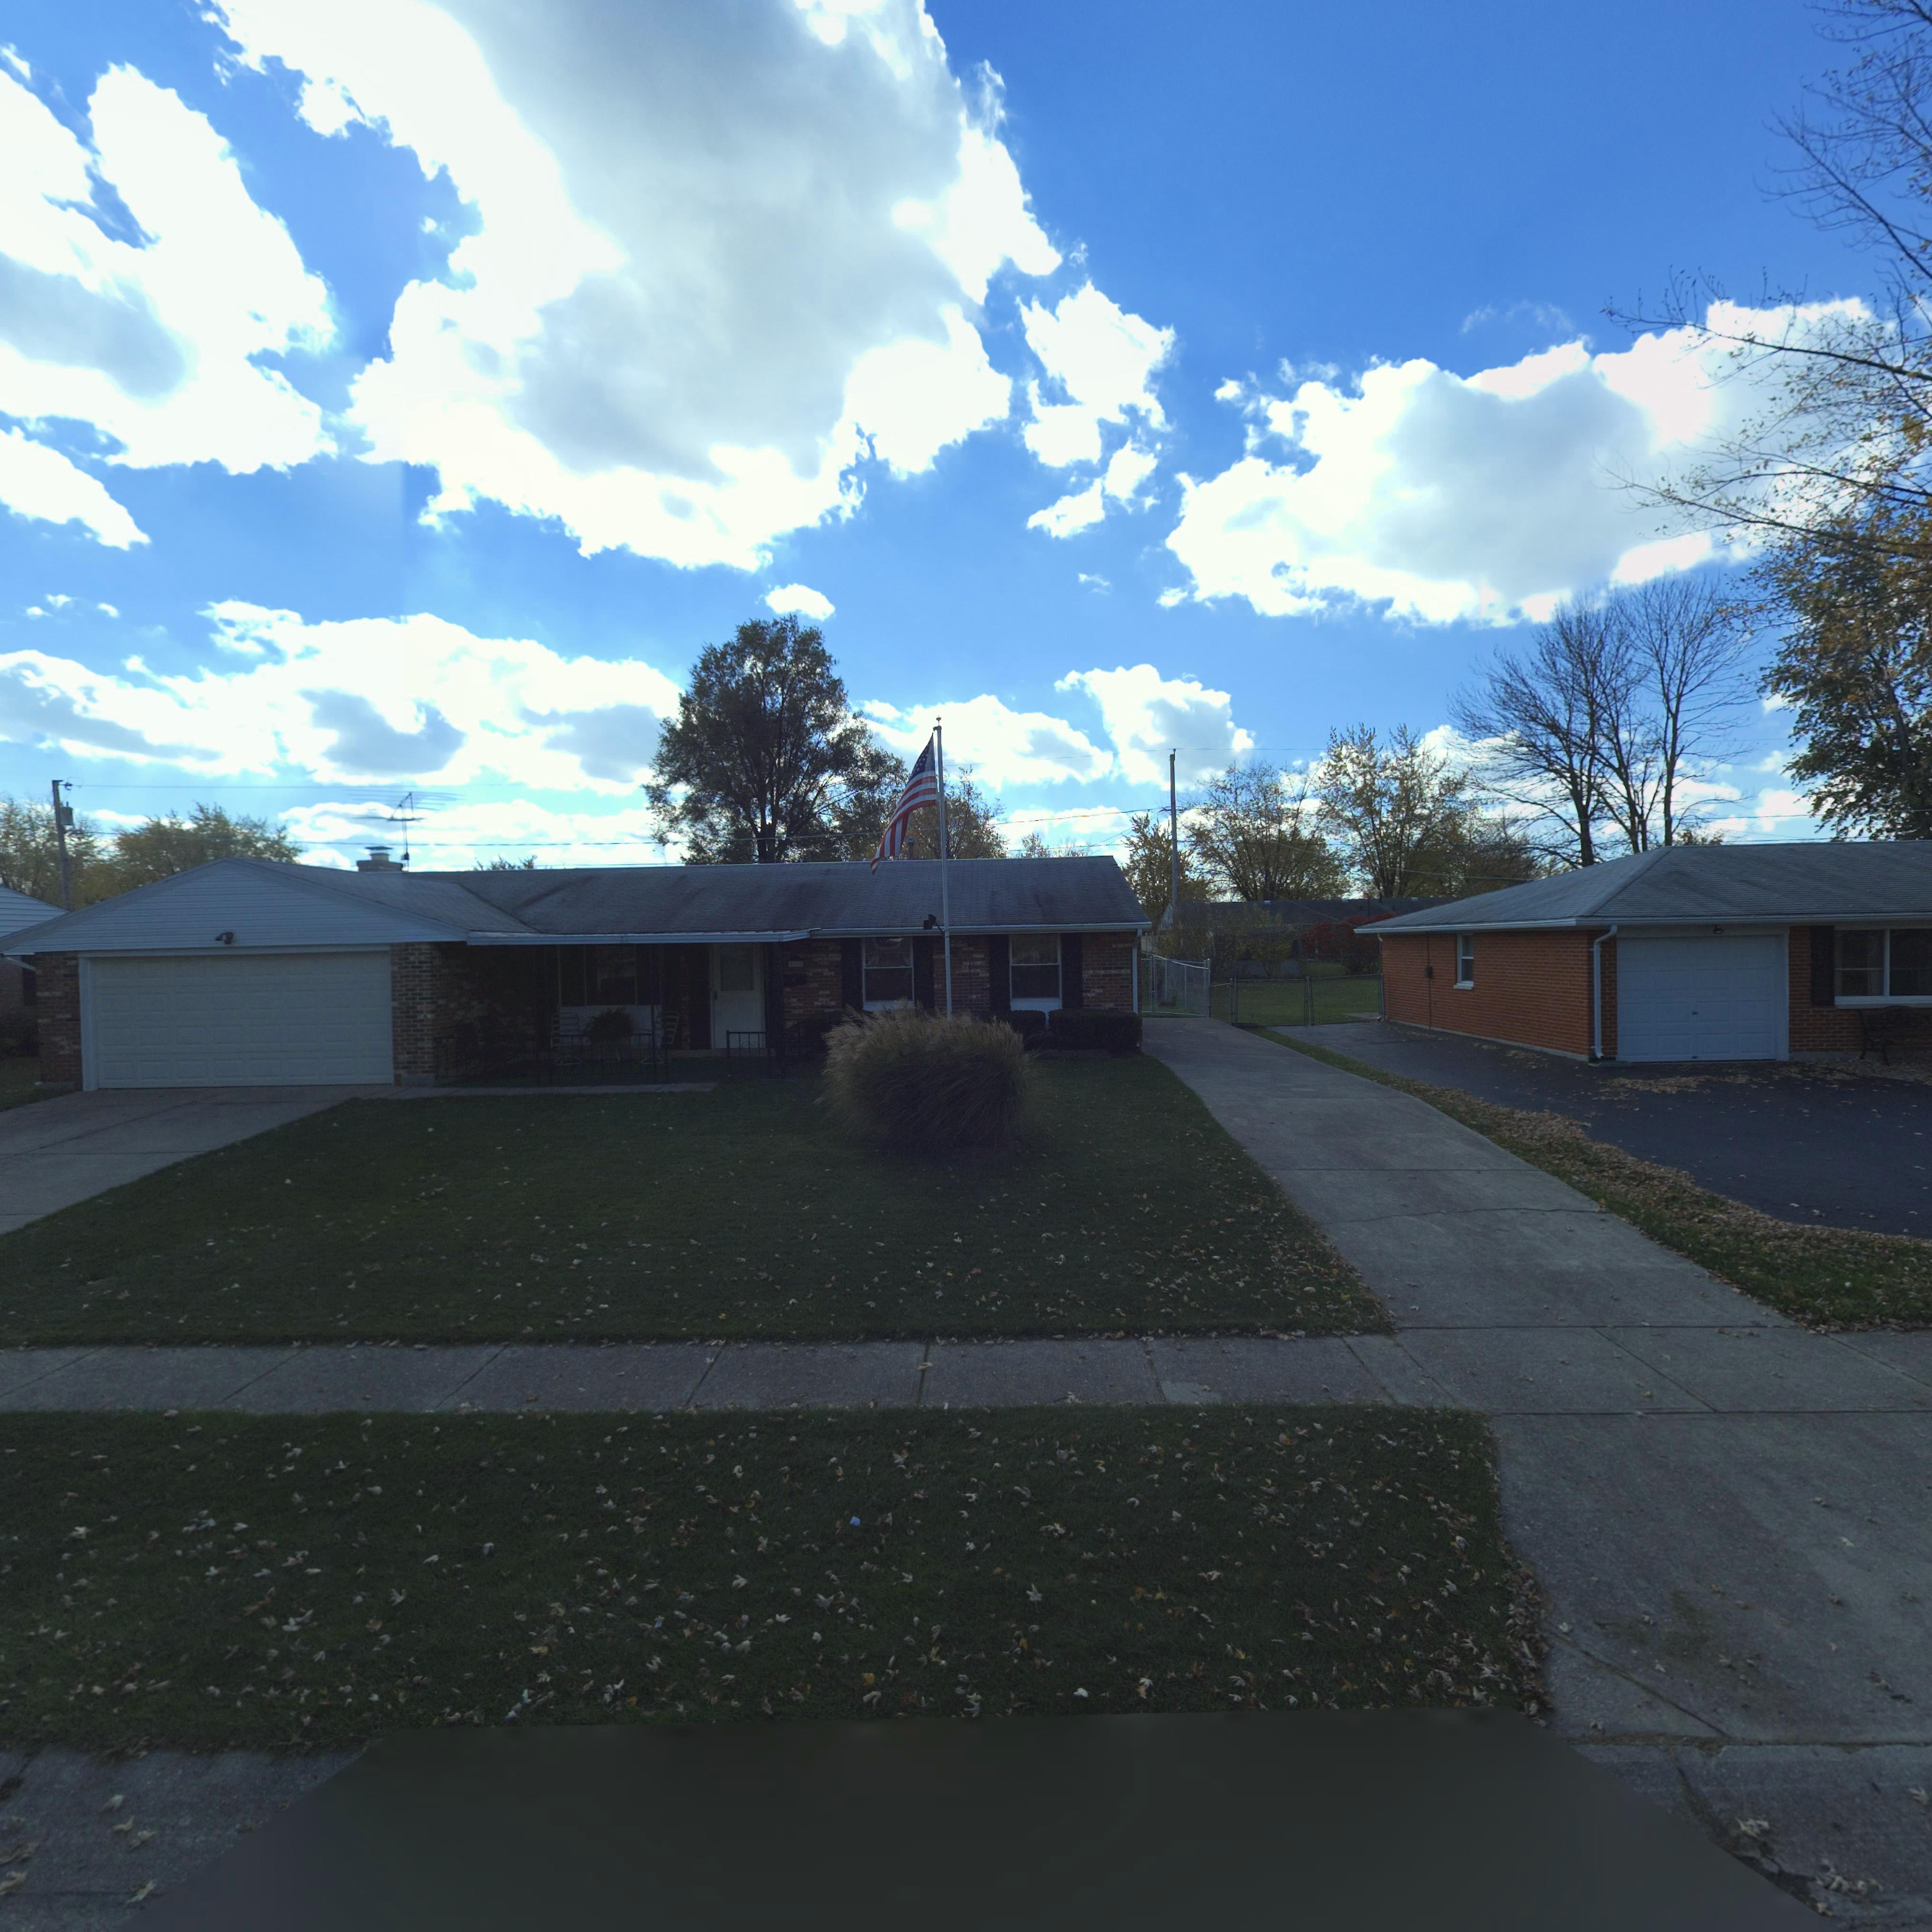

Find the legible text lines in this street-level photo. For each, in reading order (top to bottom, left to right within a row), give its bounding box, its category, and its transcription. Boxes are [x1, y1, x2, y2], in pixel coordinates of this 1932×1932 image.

[790, 961, 802, 966] StreetNumber: 7*42